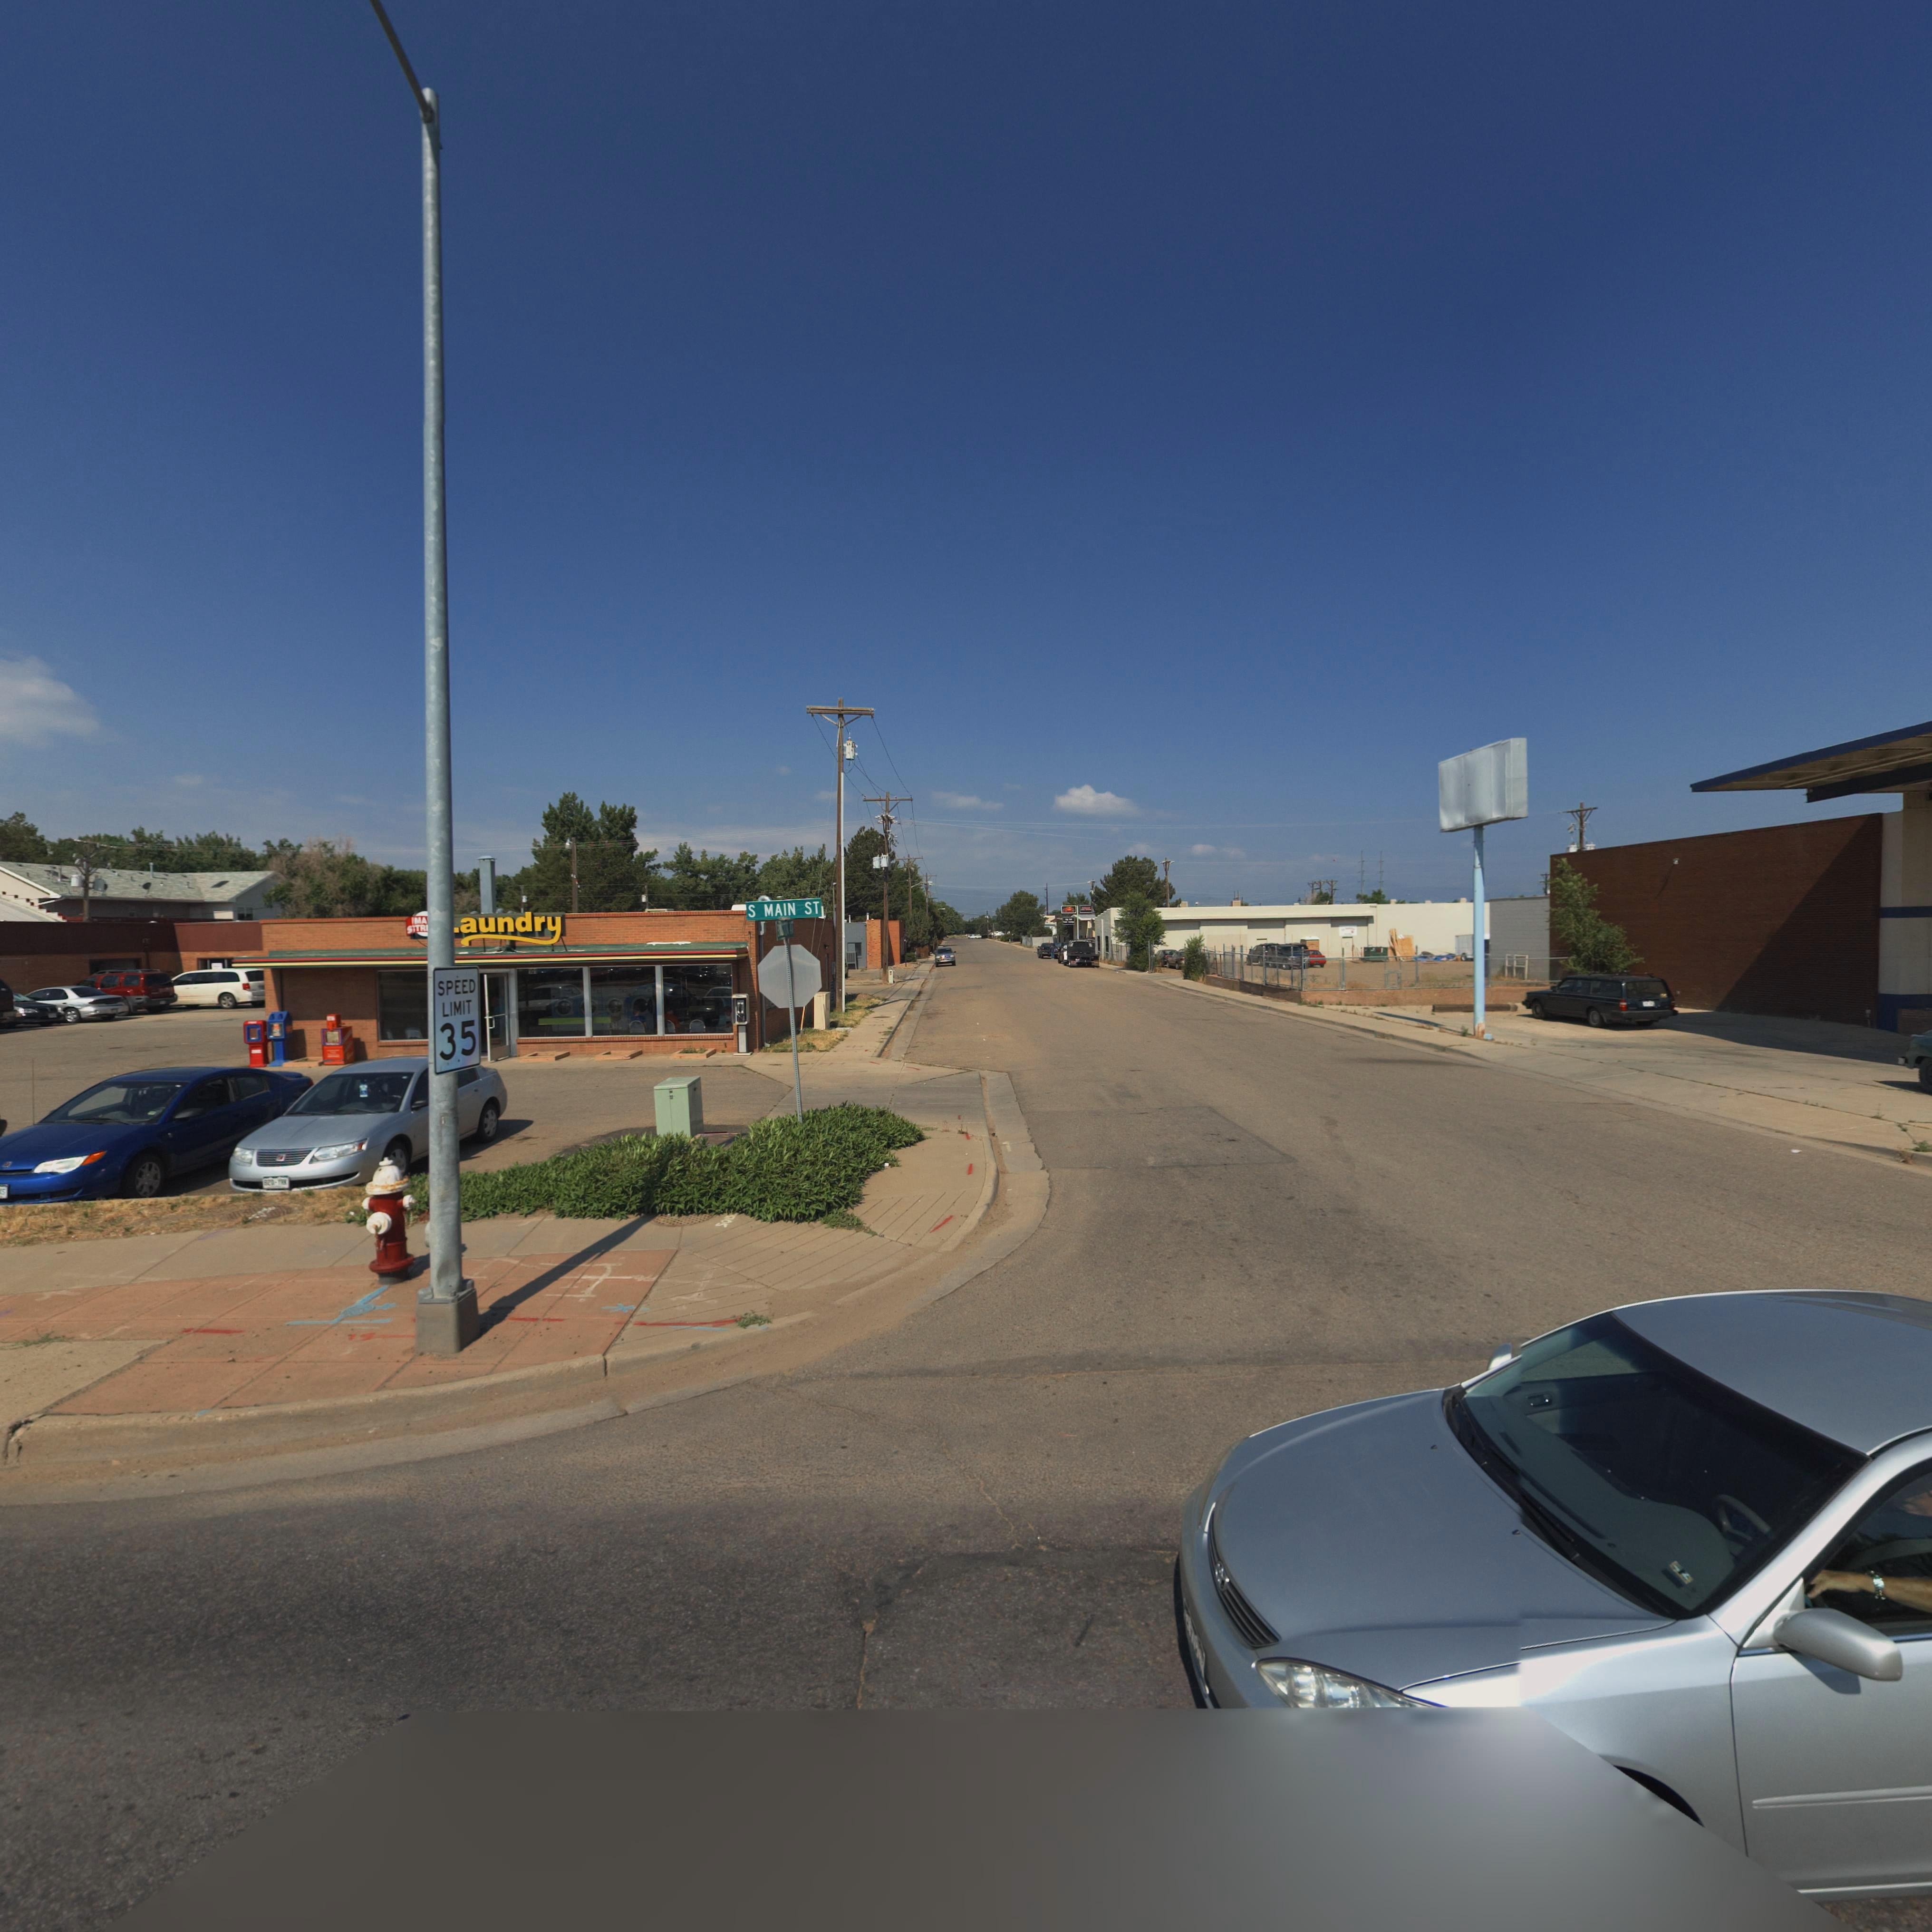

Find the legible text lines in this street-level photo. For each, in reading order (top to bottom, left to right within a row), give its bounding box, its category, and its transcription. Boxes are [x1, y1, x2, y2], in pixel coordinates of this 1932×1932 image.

[748, 900, 820, 918] StreetName: S MAIN ST
[411, 917, 427, 924] BusinessName: *MA
[406, 924, 427, 934] BusinessName: S*TR*
[454, 911, 561, 941] BusinessName: *aundry
[529, 968, 537, 974] StreetNumber: 101